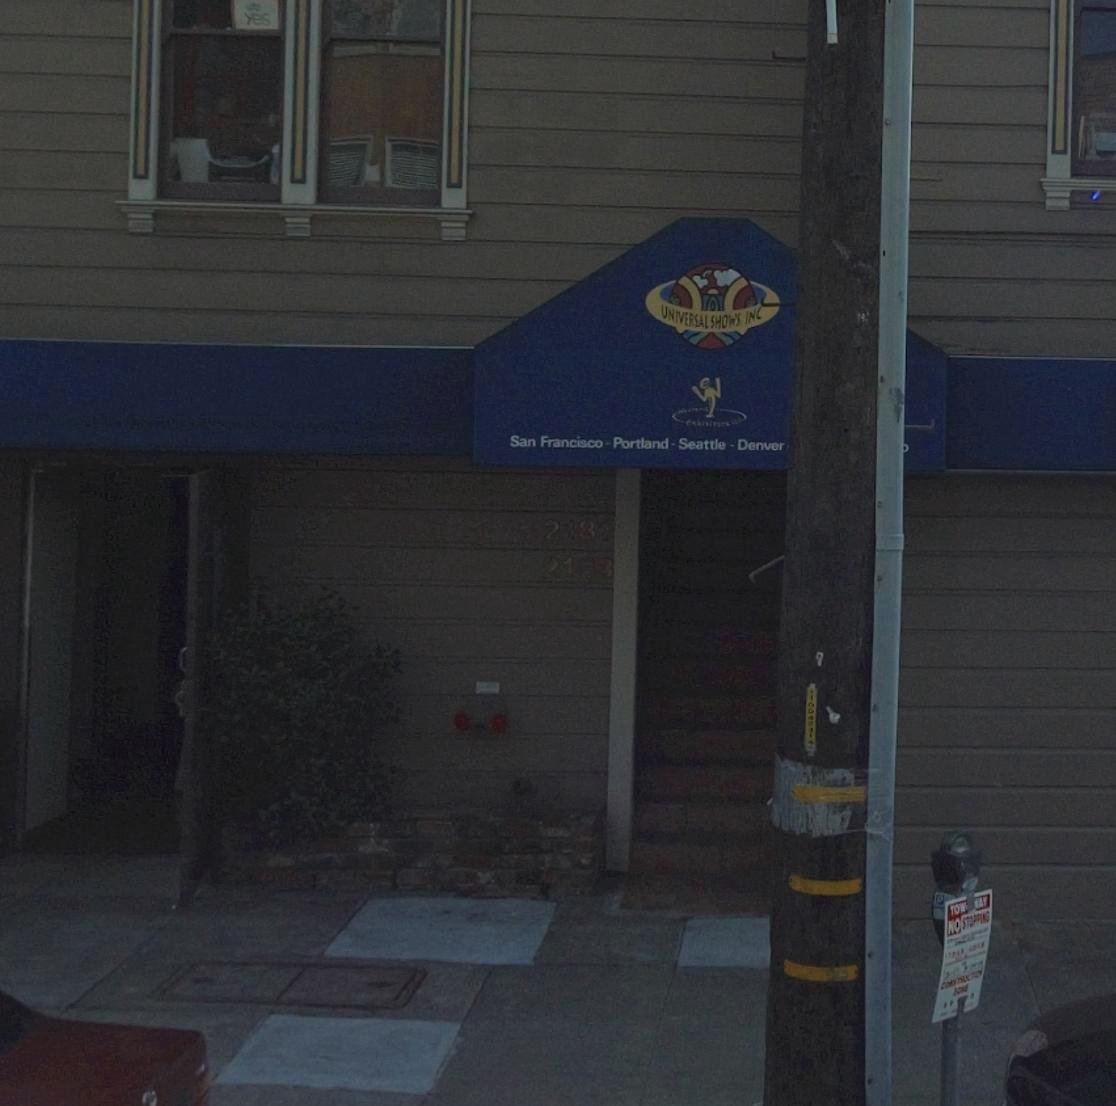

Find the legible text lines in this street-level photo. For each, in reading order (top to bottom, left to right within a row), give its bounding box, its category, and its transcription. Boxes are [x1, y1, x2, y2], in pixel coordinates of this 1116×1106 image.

[658, 299, 768, 333] BusinessName: UNIVERSAL SHOWS INC
[506, 432, 787, 454] None: San Francisco-Portland-Seattle-Denver
[542, 516, 613, 545] StreetNumber: 2181
[539, 553, 616, 583] StreetNumber: 21*3
[805, 687, 817, 748] None: *100*****
[946, 900, 969, 919] None: TOW
[945, 915, 963, 938] None: NO